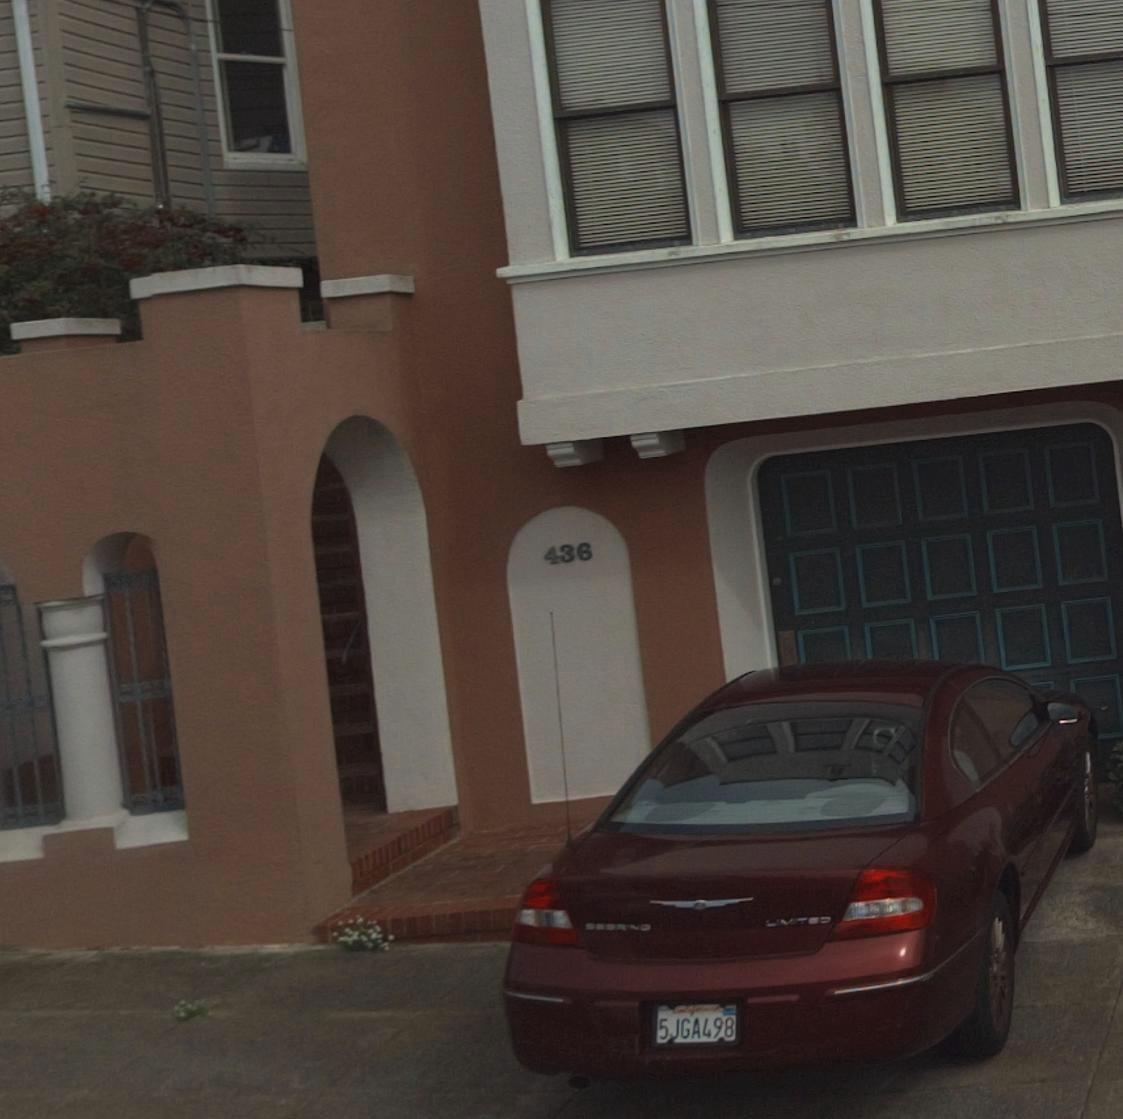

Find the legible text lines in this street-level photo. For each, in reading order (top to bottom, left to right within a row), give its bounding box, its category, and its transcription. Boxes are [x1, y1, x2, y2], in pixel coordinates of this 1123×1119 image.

[543, 540, 595, 567] StreetNumber: 436
[584, 923, 651, 932] None: SEBRING
[765, 916, 831, 928] None: LIMITED
[657, 1016, 734, 1041] None: 5JGA498